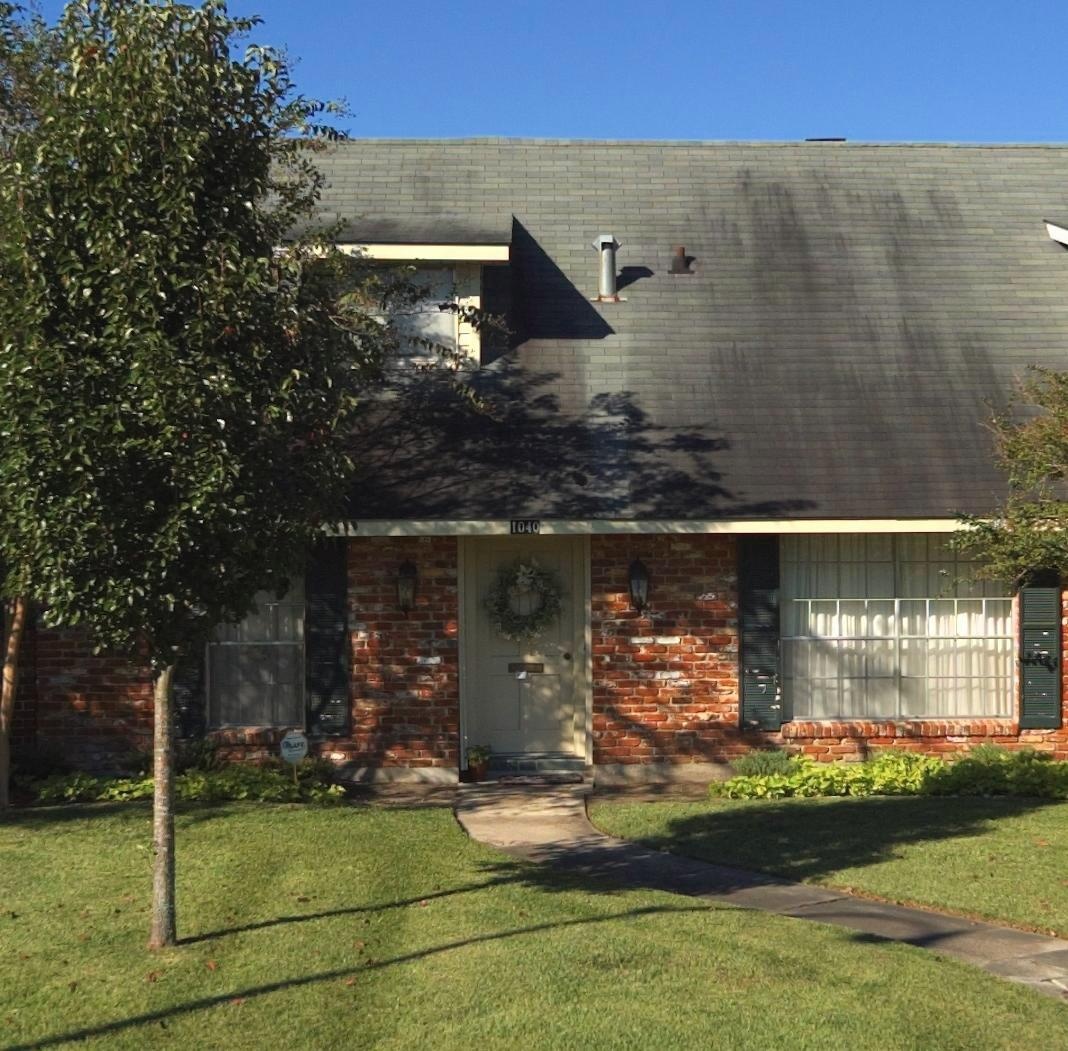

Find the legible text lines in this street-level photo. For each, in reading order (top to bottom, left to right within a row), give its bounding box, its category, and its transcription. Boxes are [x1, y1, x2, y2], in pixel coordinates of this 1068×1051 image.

[510, 519, 541, 535] StreetNumber: 1040